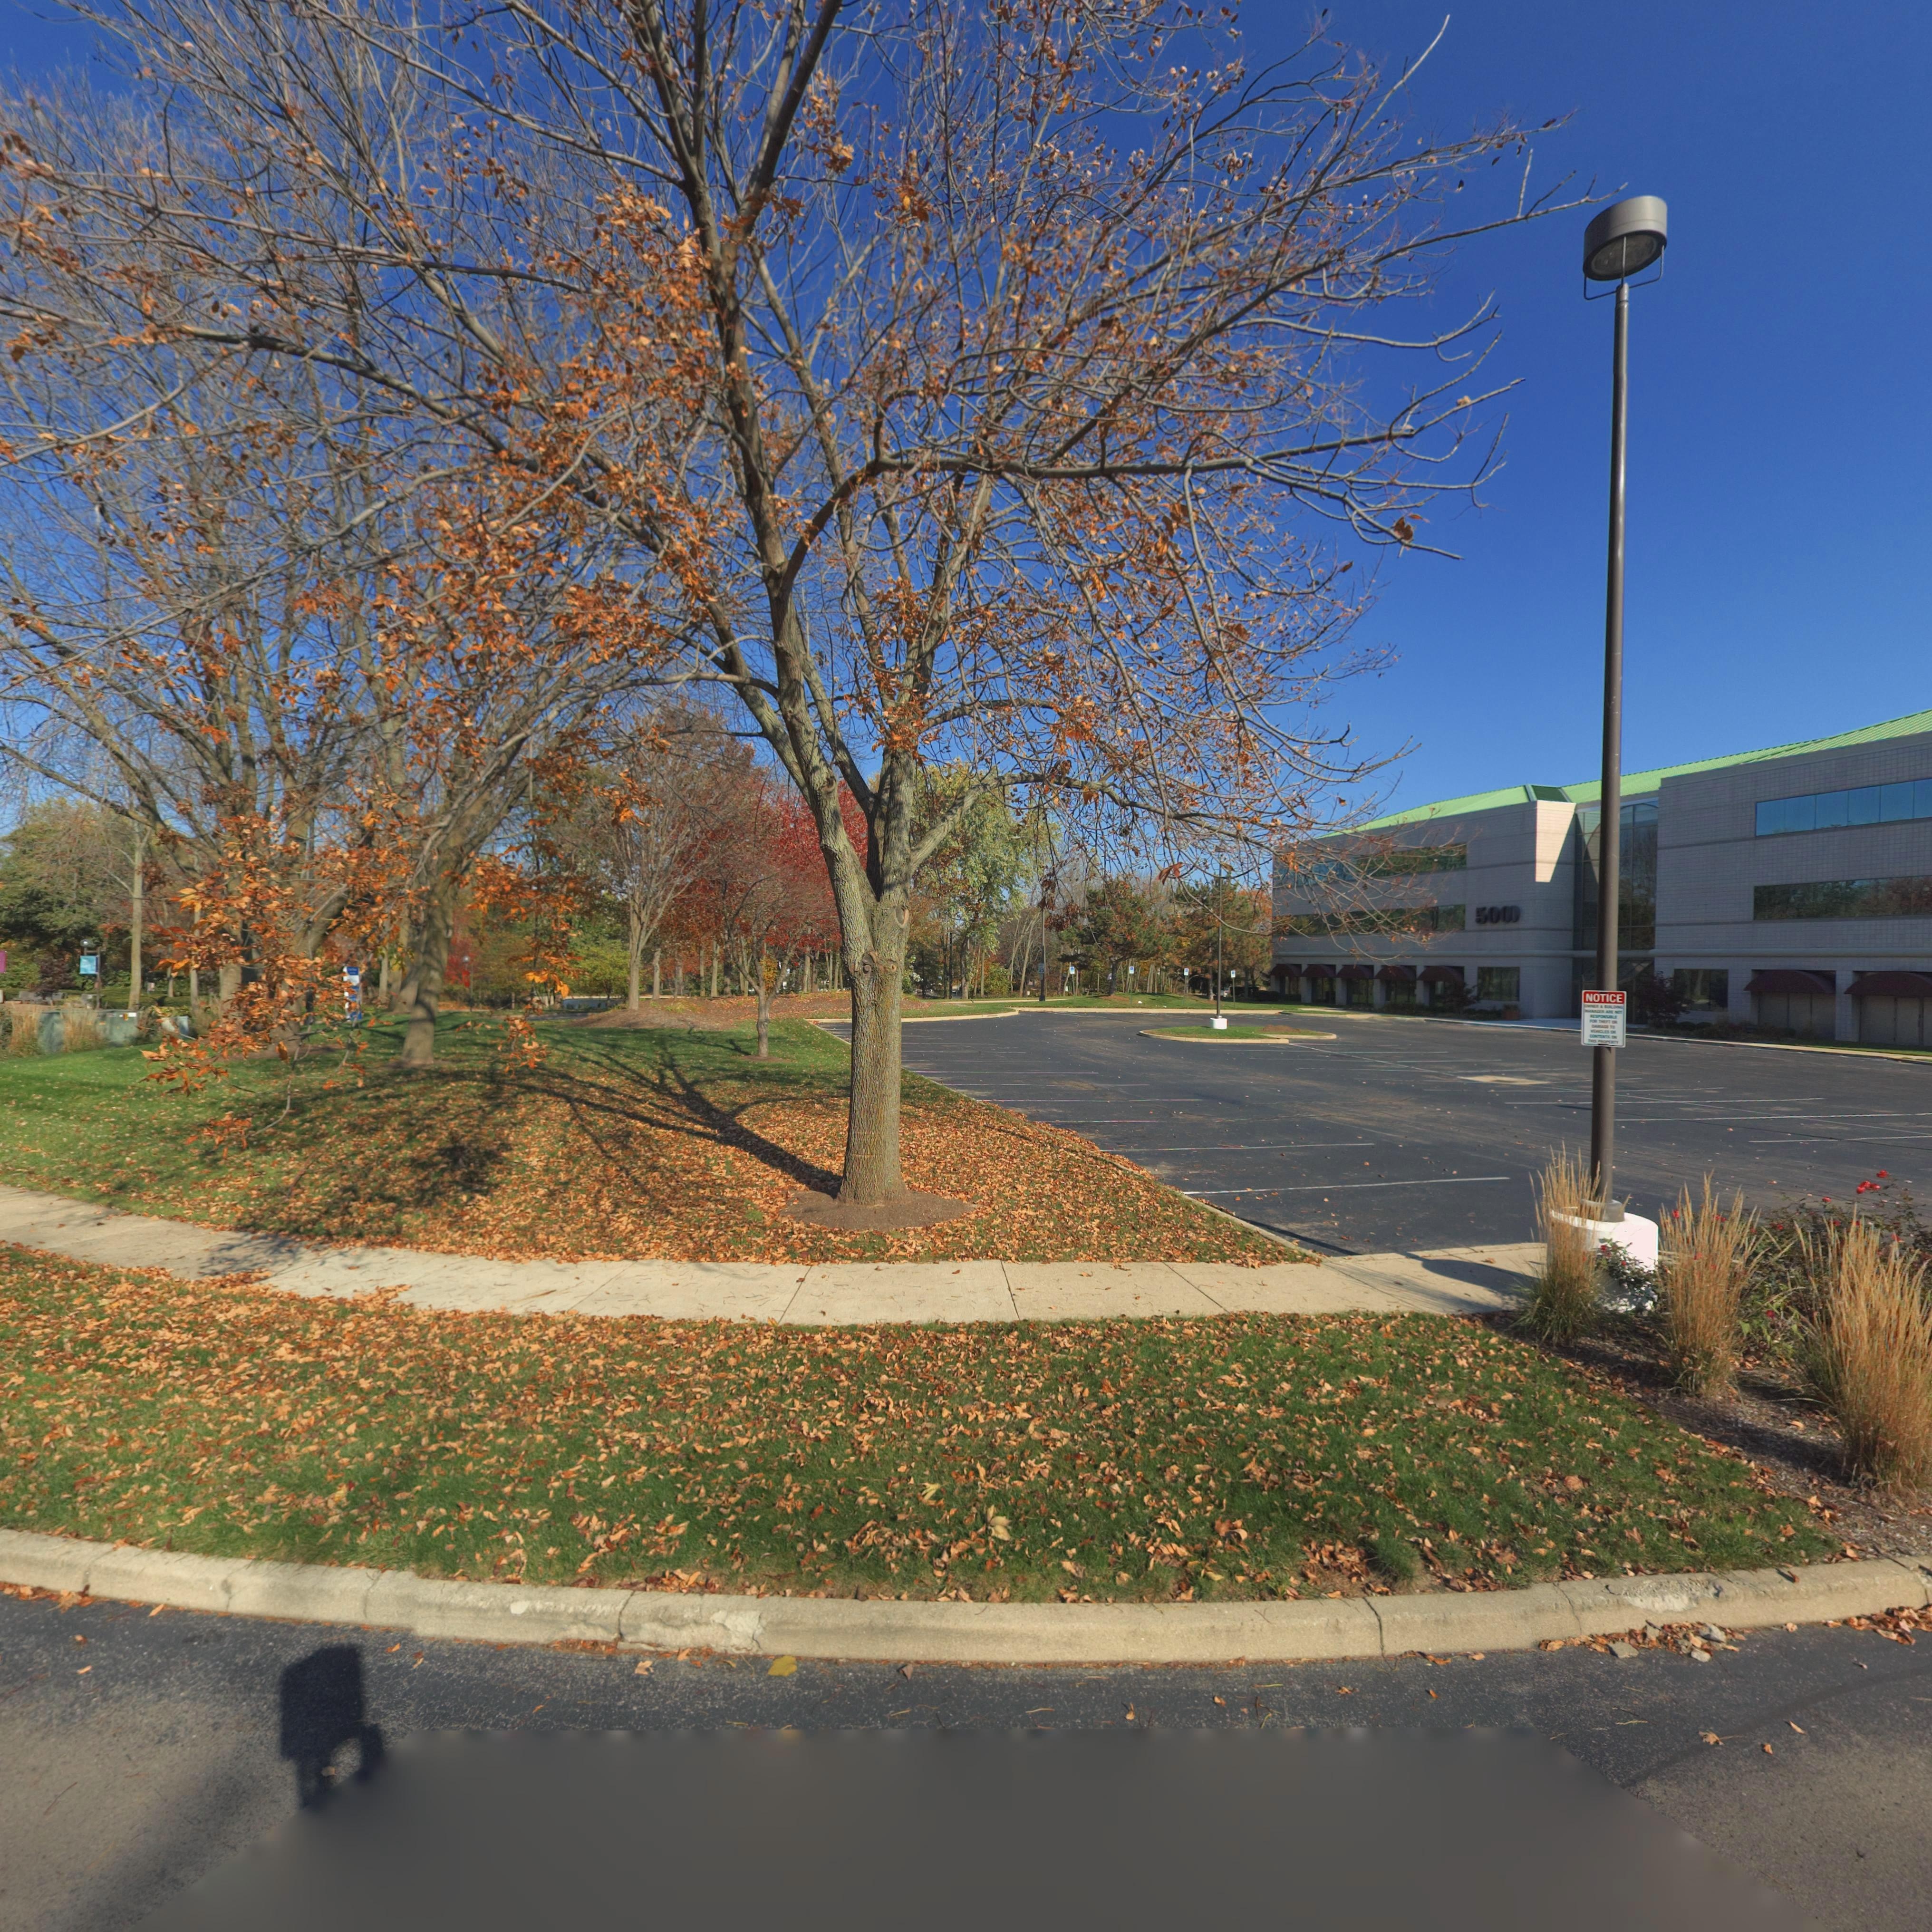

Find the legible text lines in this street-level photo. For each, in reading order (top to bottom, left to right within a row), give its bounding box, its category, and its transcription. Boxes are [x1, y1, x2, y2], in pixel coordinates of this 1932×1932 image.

[1475, 905, 1519, 925] StreetNumber: 500
[1585, 993, 1623, 1003] None: NOTICE